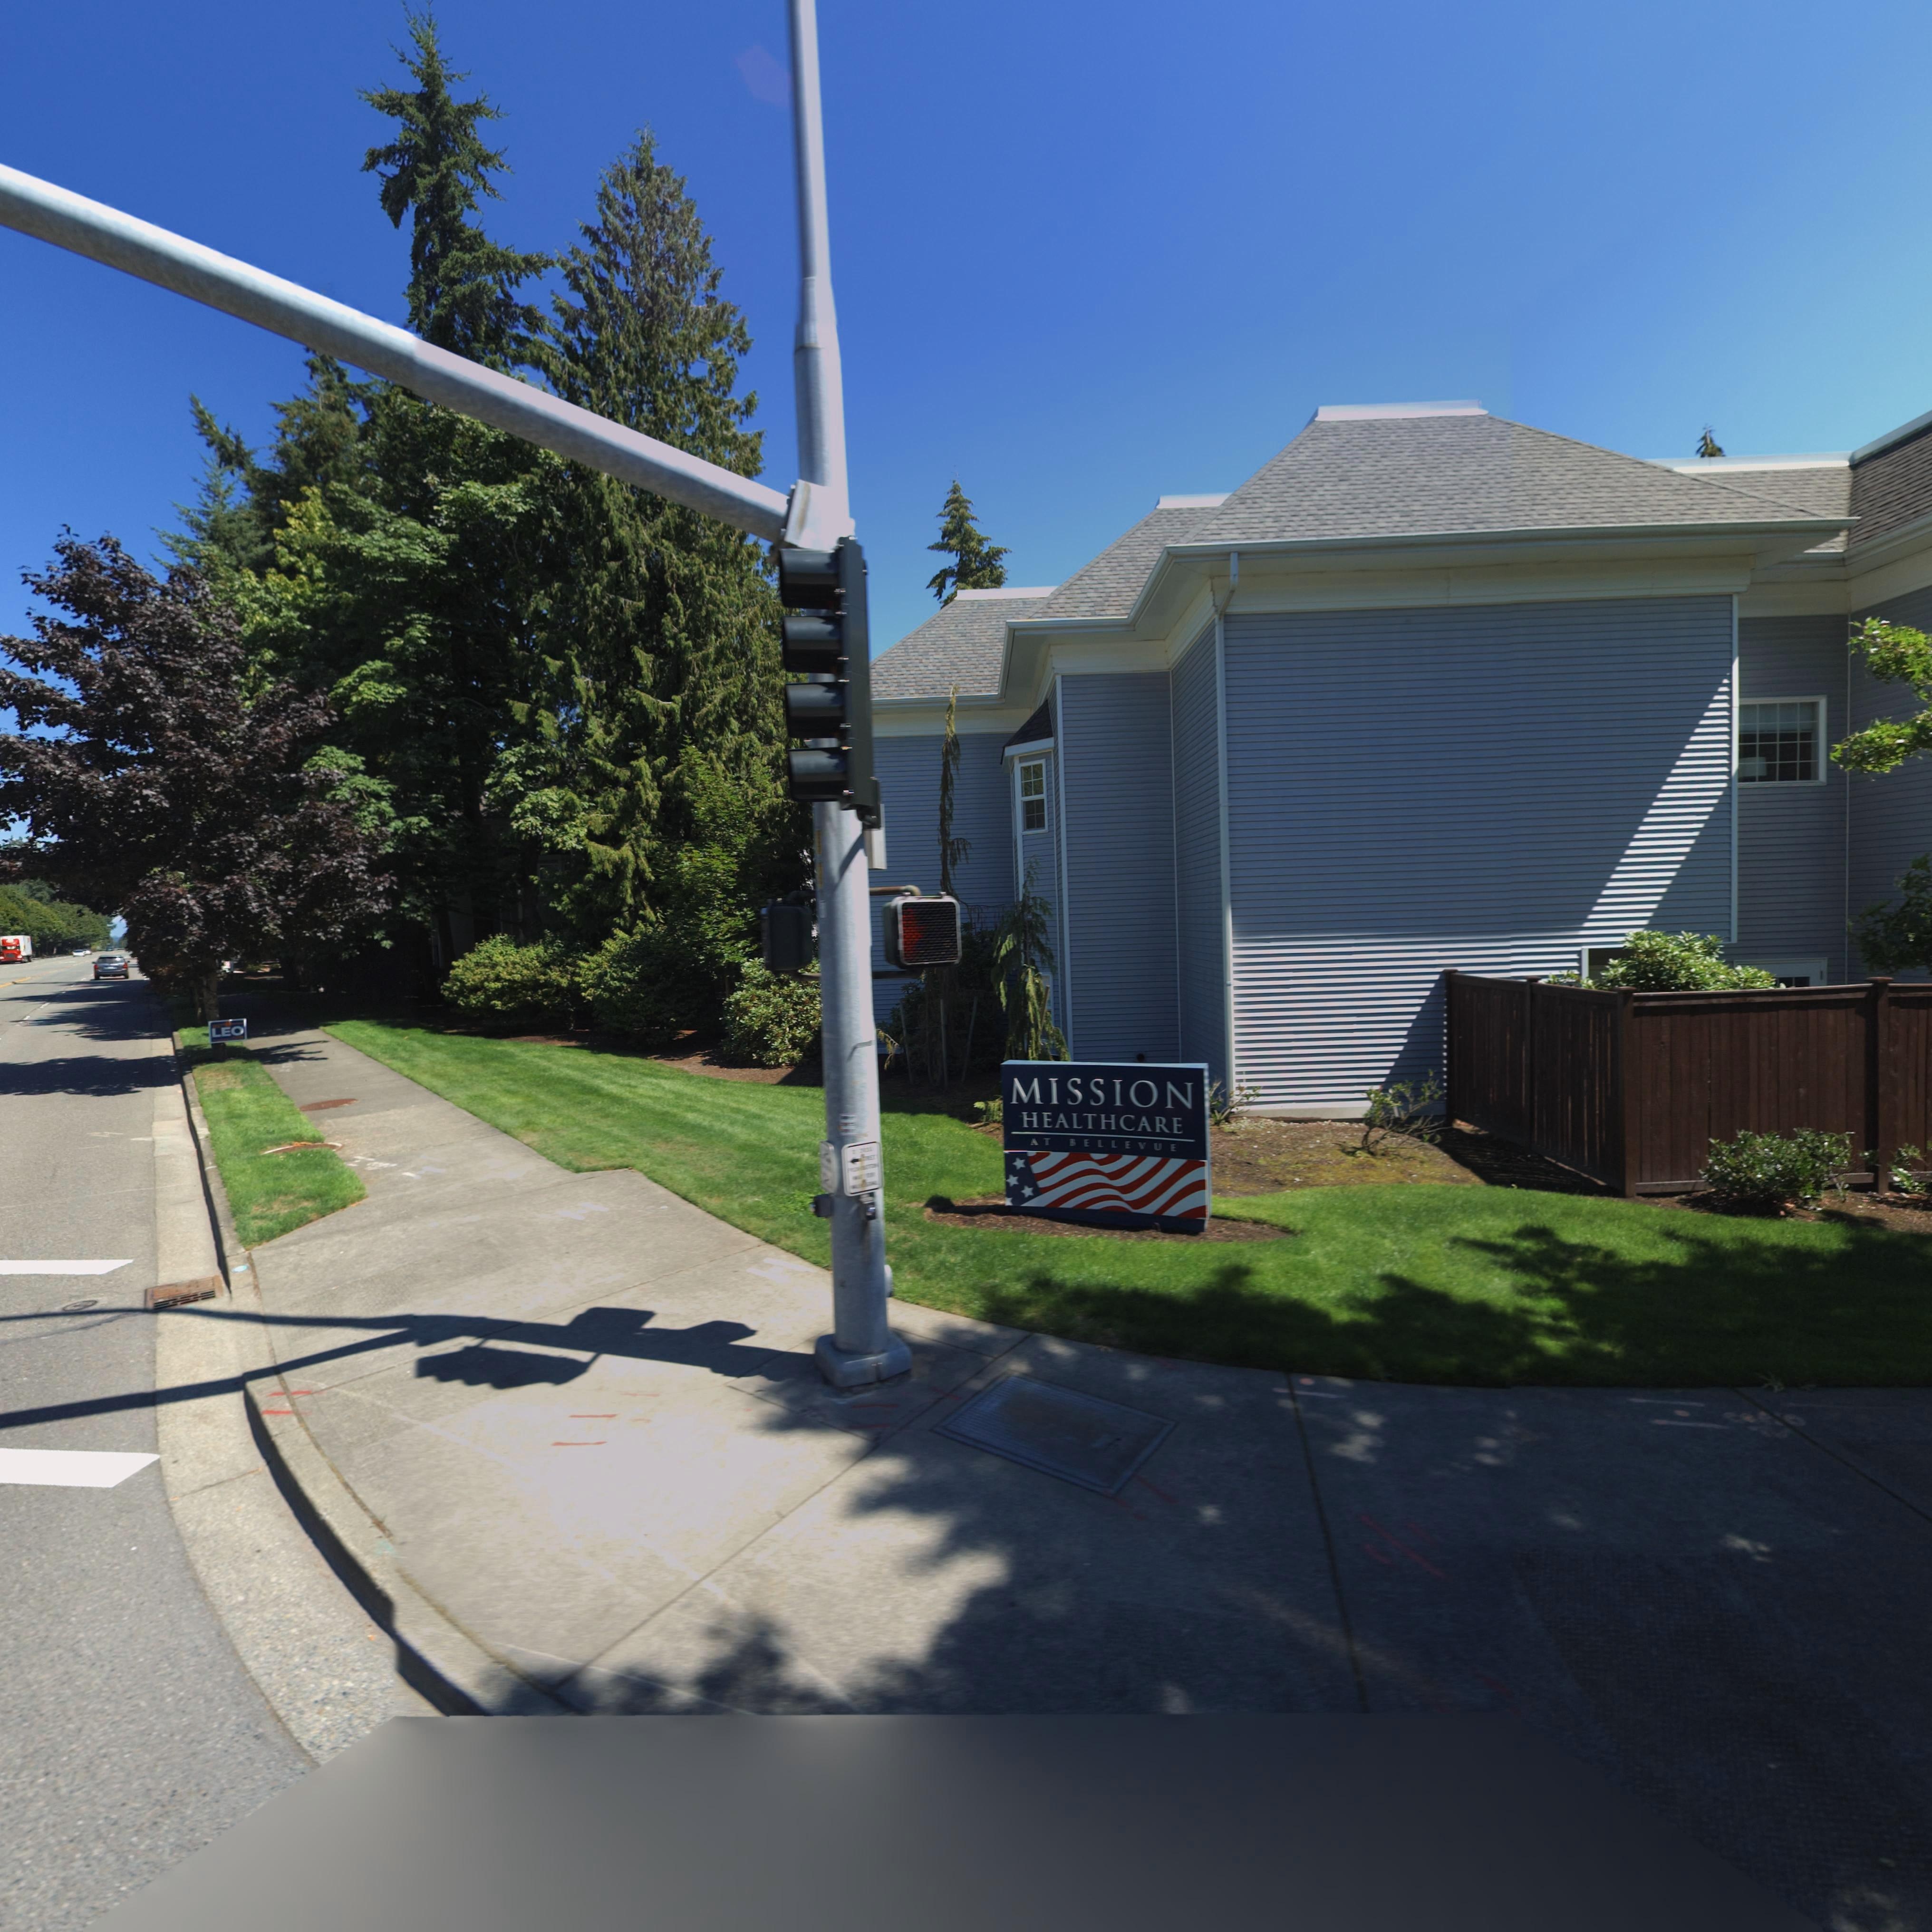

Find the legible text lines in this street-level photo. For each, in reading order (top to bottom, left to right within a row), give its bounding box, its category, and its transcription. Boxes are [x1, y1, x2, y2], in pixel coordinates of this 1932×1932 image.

[1010, 1076, 1193, 1109] BusinessName: MISSION
[1021, 1112, 1184, 1136] BusinessName: HEALTHCARE
[1029, 1136, 1177, 1152] BusinessName: AT BELLEVUE